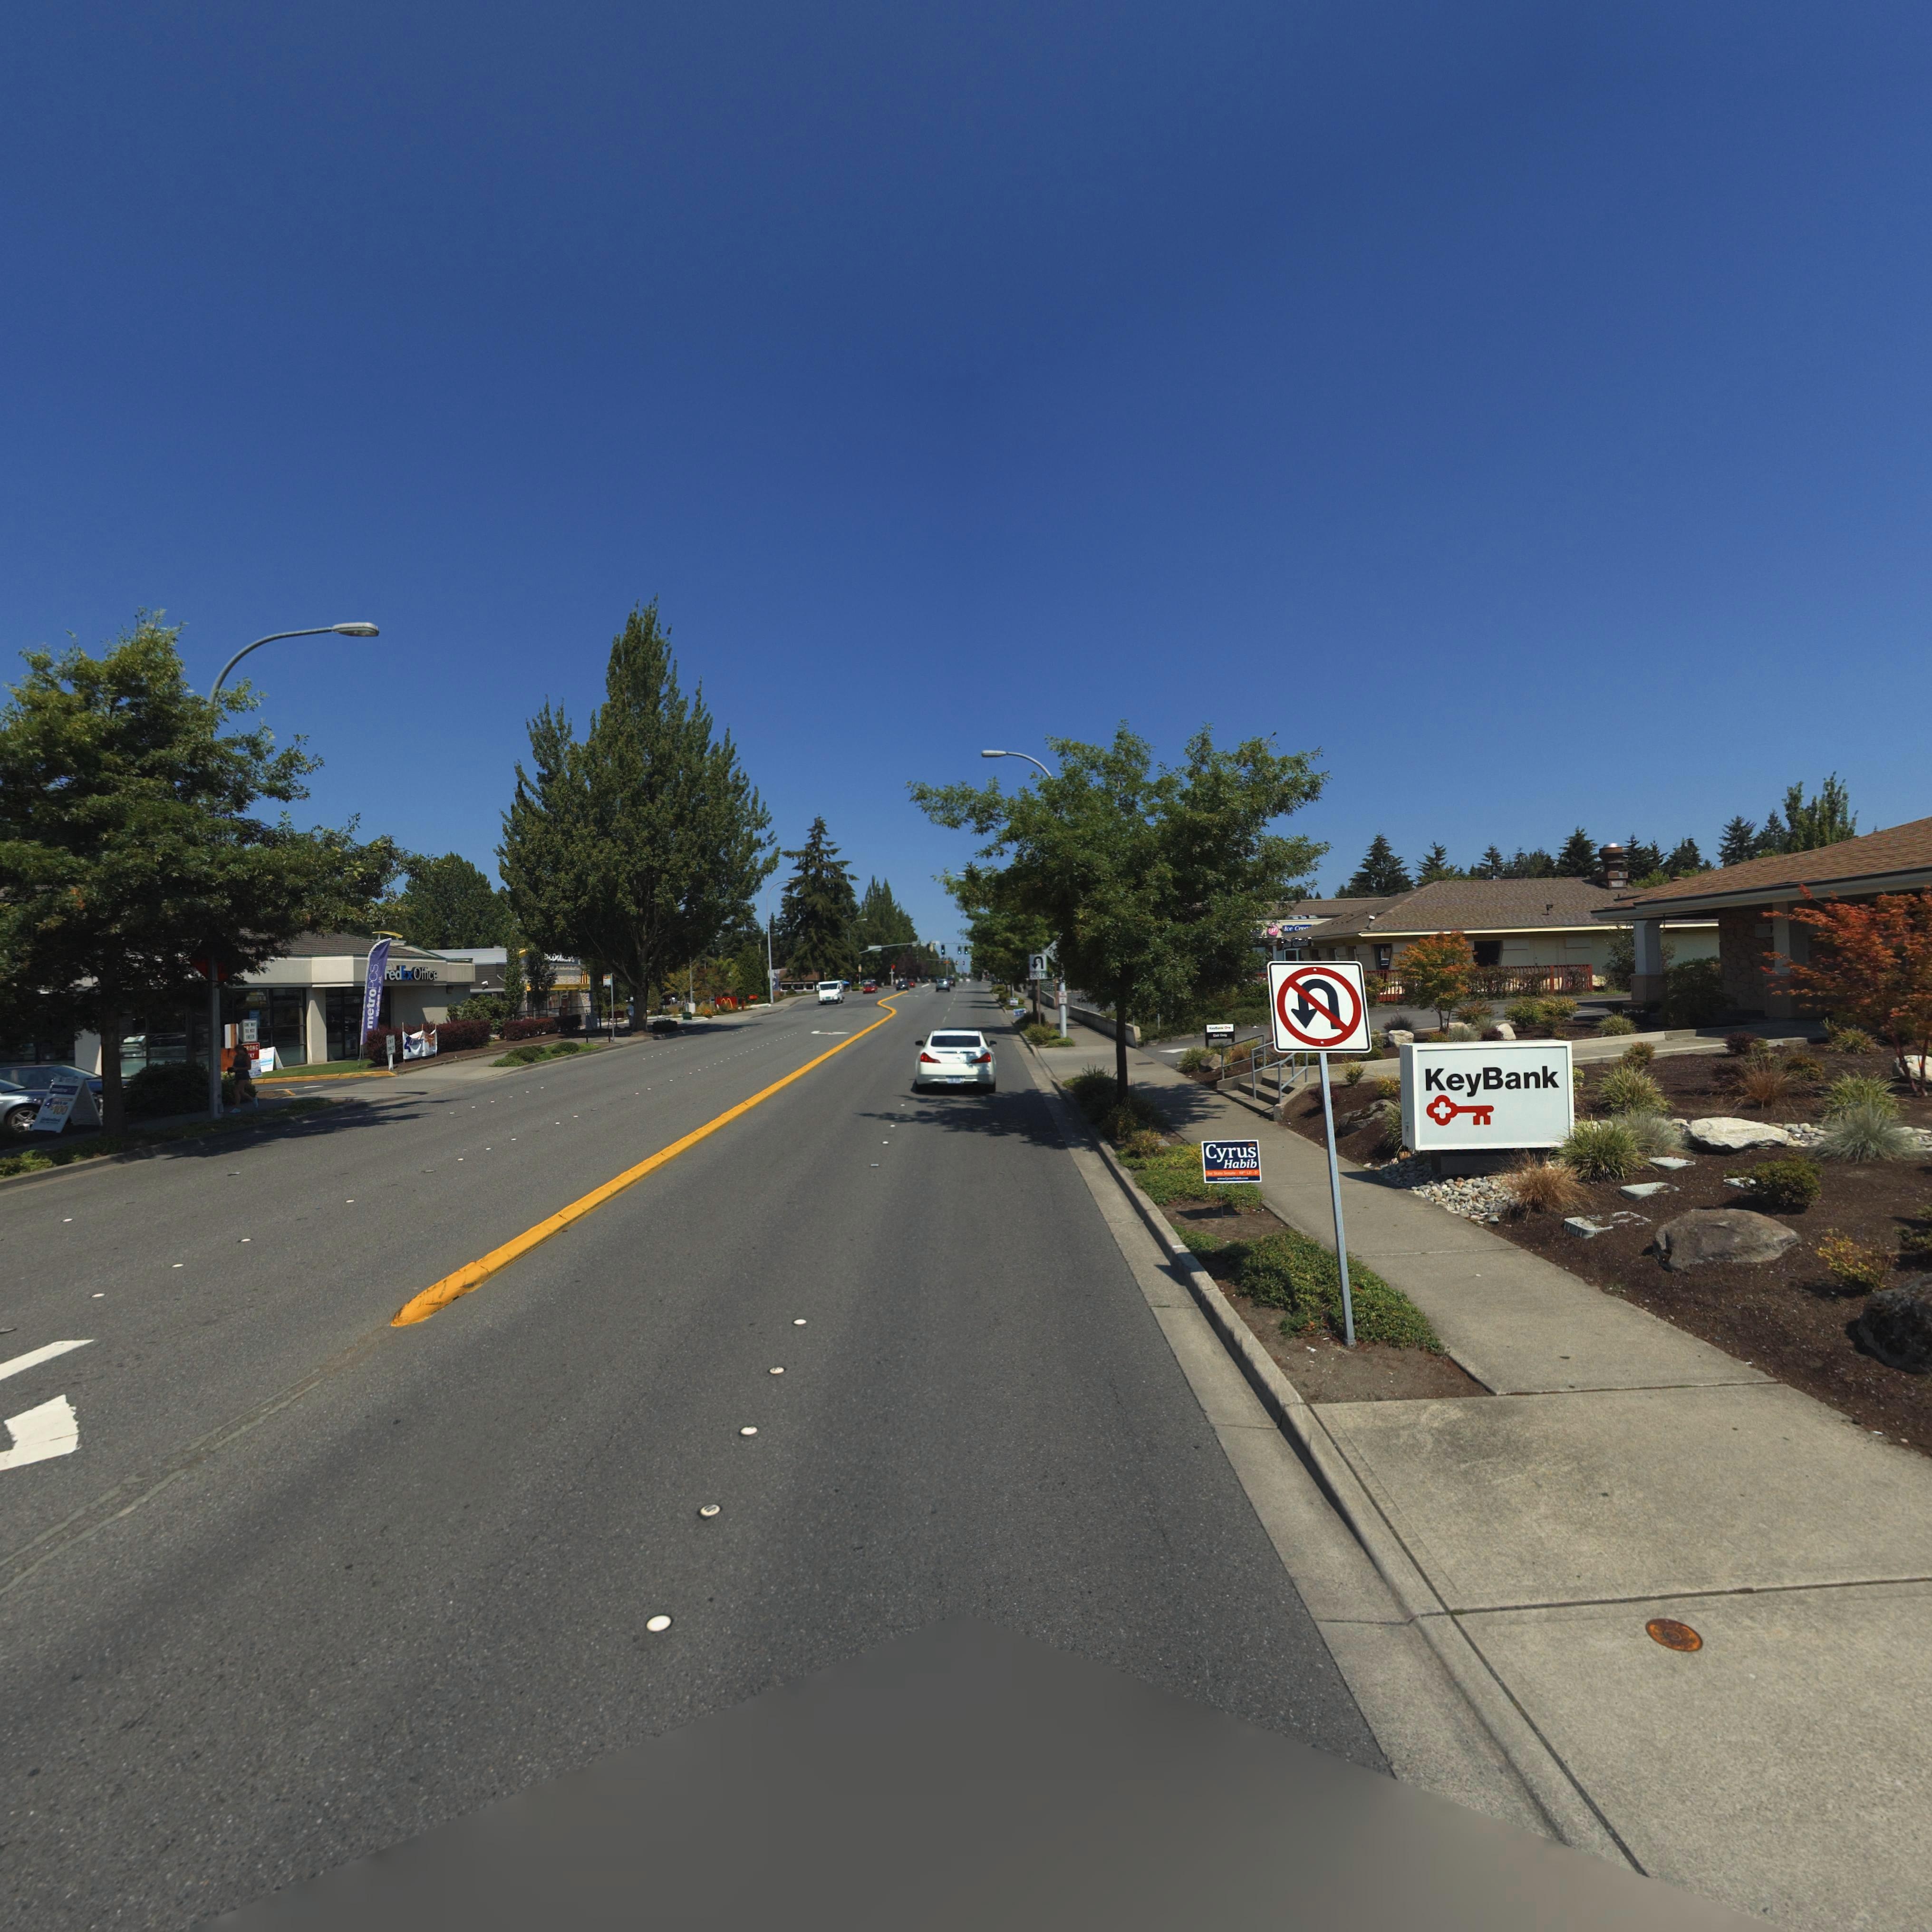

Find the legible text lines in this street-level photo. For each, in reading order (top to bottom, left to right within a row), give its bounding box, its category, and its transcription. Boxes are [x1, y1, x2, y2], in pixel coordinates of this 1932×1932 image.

[1282, 923, 1294, 933] BusinessName: Ice